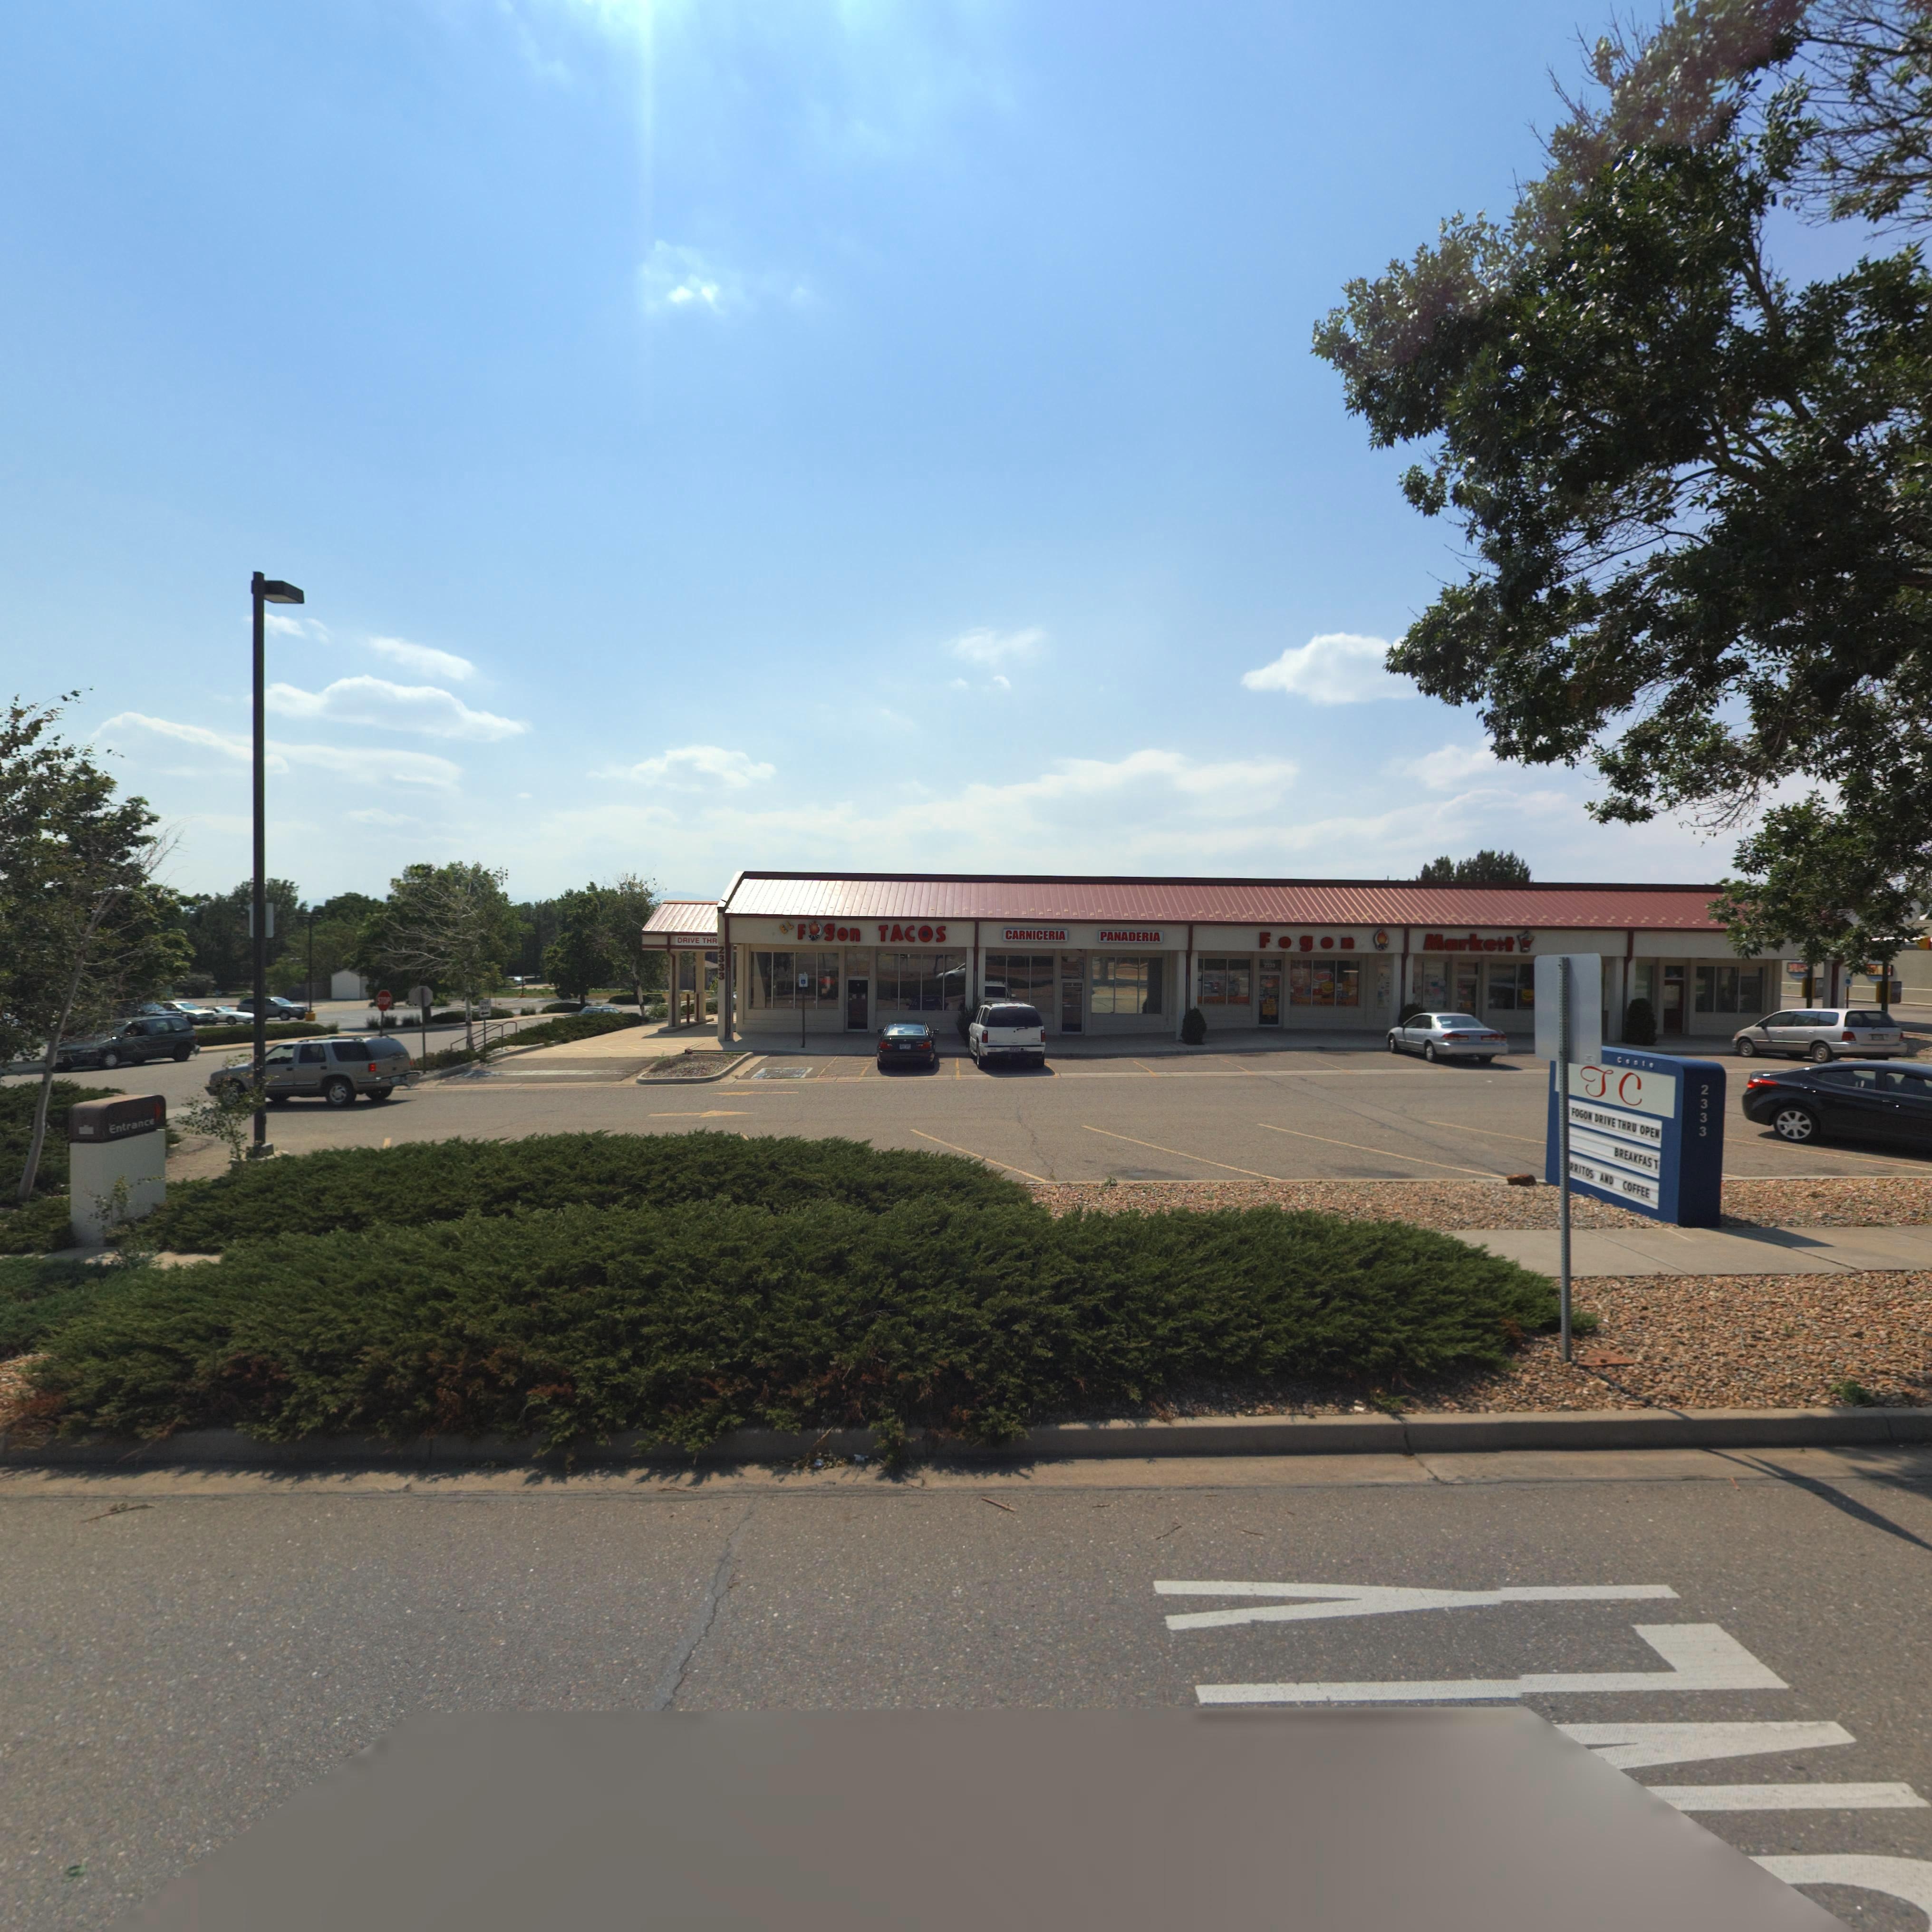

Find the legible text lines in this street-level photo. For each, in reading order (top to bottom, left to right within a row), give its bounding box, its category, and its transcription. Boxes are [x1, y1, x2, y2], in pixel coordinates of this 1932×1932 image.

[778, 920, 795, 935] BusinessName: EL
[797, 919, 947, 943] BusinessName: F*gon TACOS
[1258, 931, 1355, 953] BusinessName: Fogon
[1421, 932, 1516, 952] BusinessName: Marke*t
[718, 946, 724, 980] StreetNumber: 2333
[1263, 963, 1275, 968] StreetNumber: 2333
[1699, 1083, 1709, 1137] StreetNumber: 2333